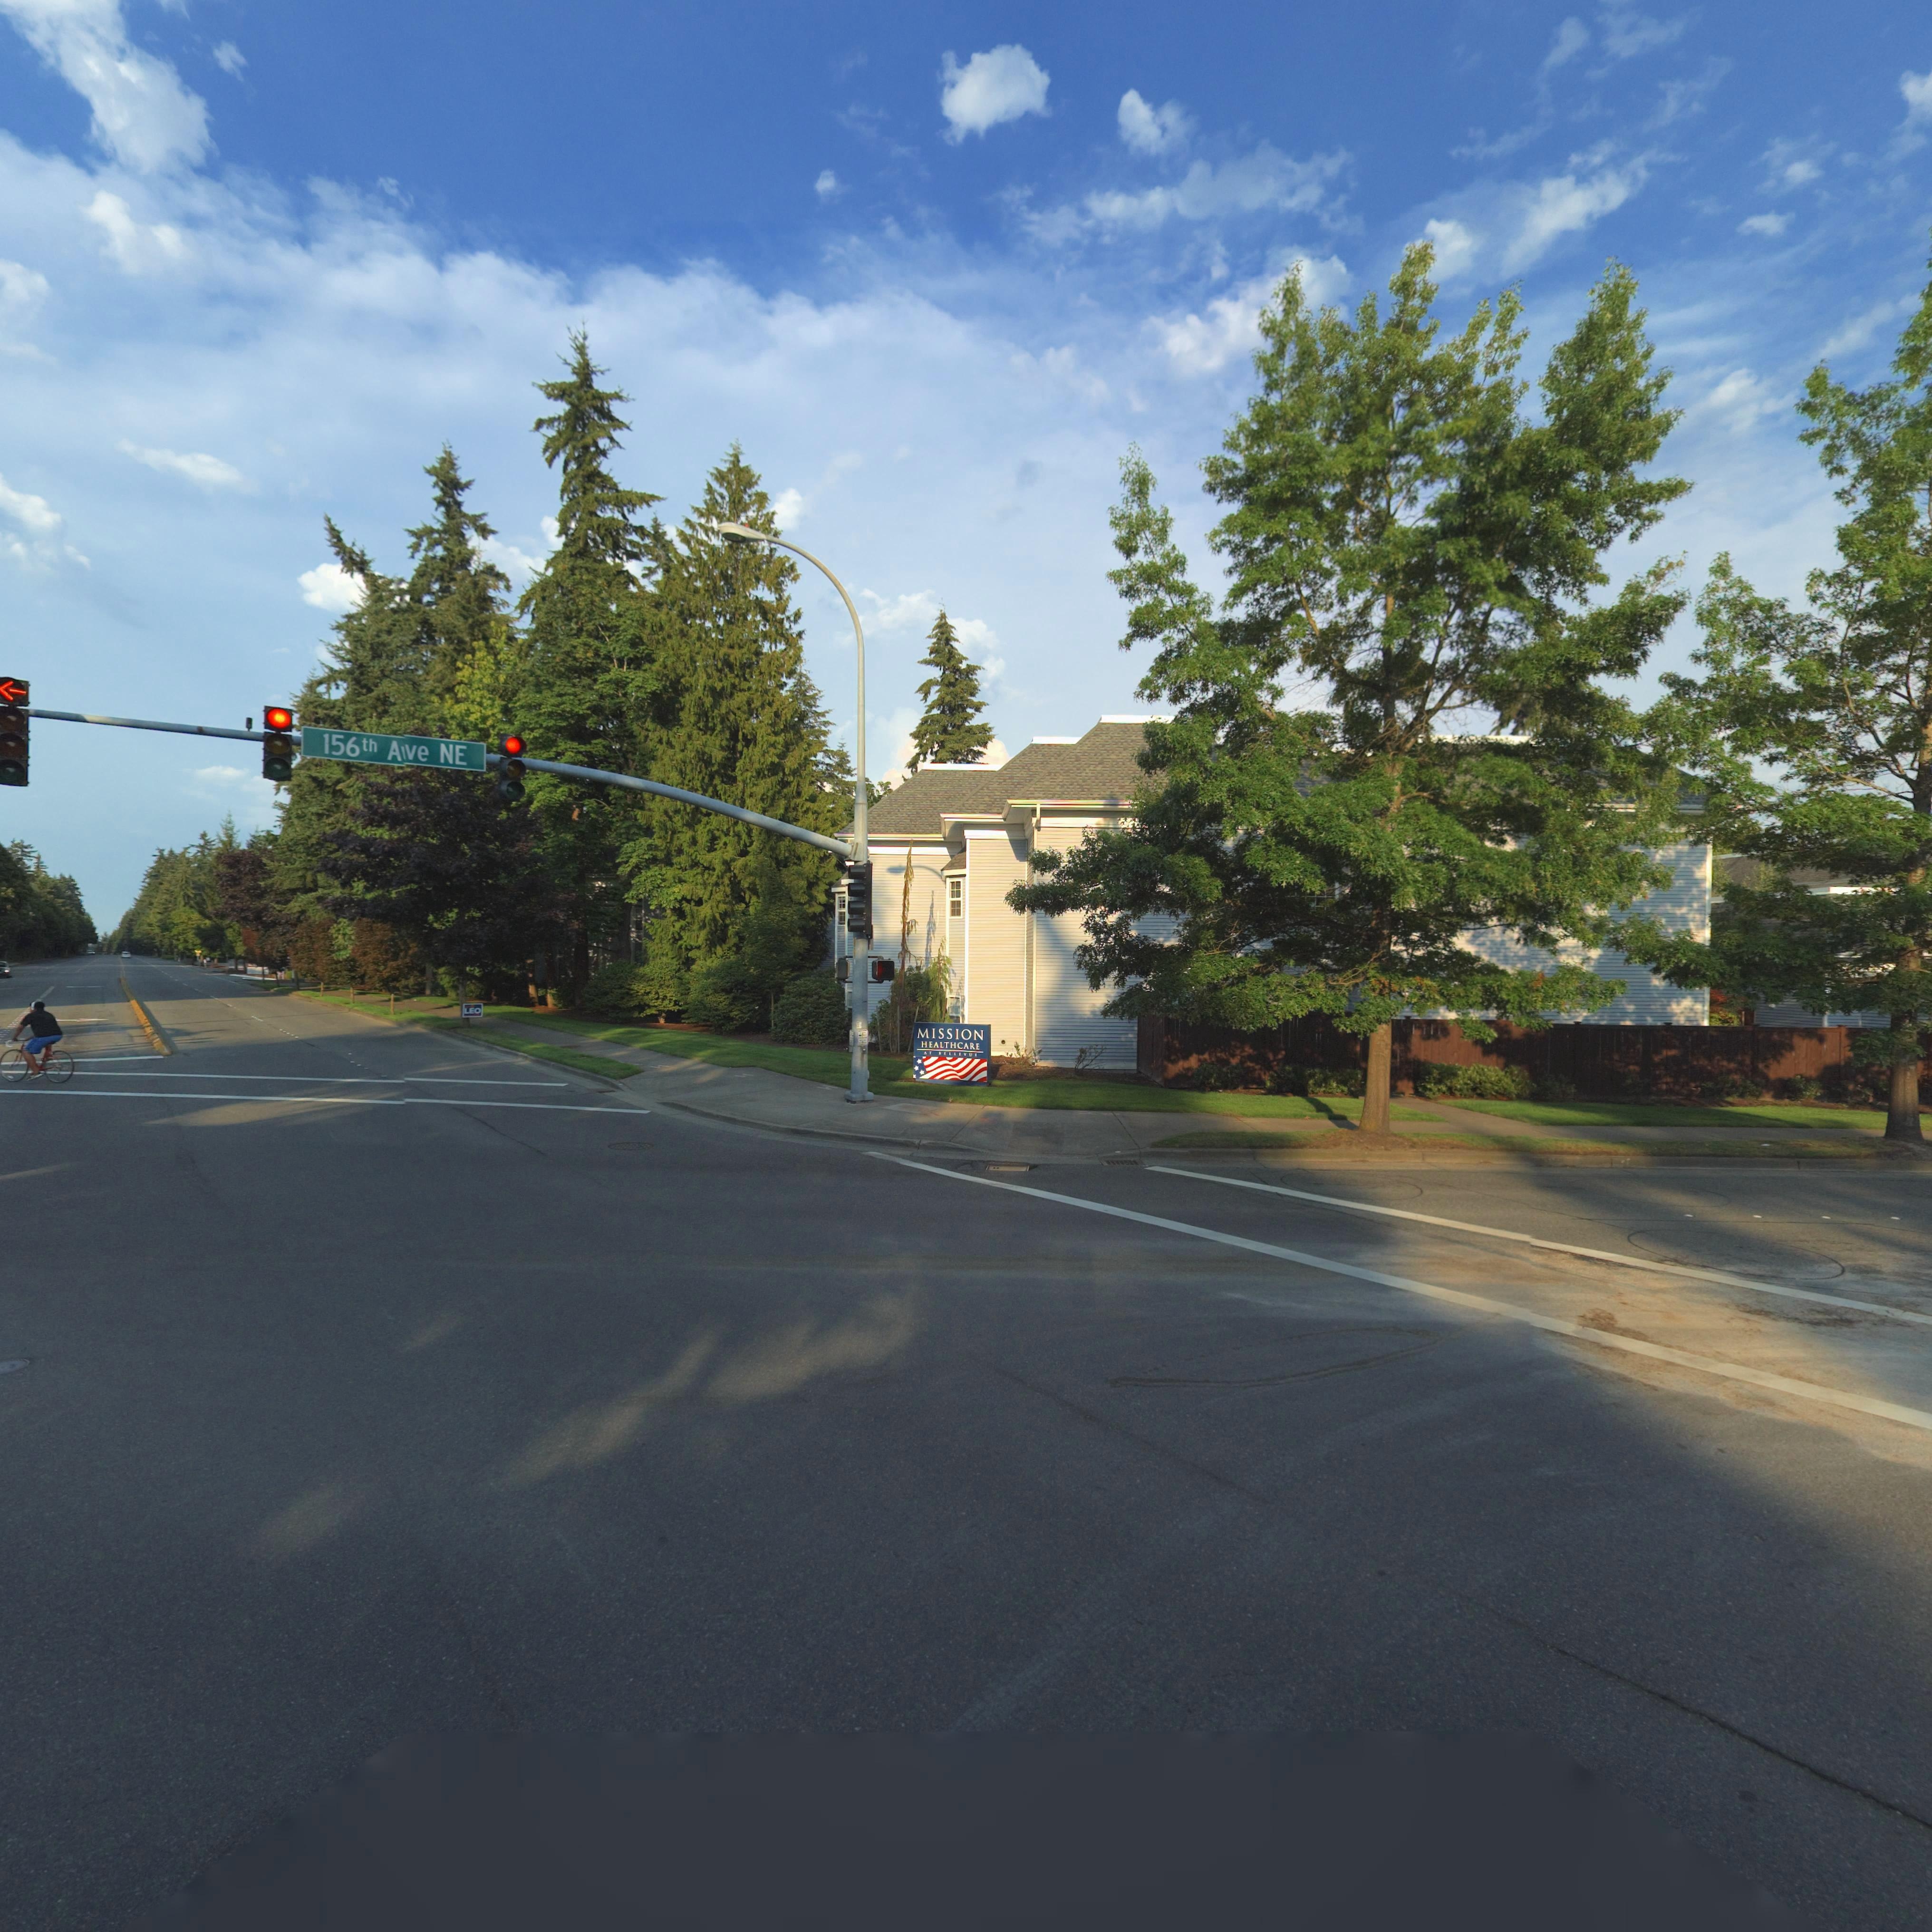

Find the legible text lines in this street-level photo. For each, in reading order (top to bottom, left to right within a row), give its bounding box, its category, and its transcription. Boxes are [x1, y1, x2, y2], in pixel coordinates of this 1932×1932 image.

[322, 730, 469, 766] StreetName: 156th Ave NE
[916, 1025, 984, 1042] BusinessName: MISSION
[922, 1041, 979, 1049] BusinessName: HEALTHCARE